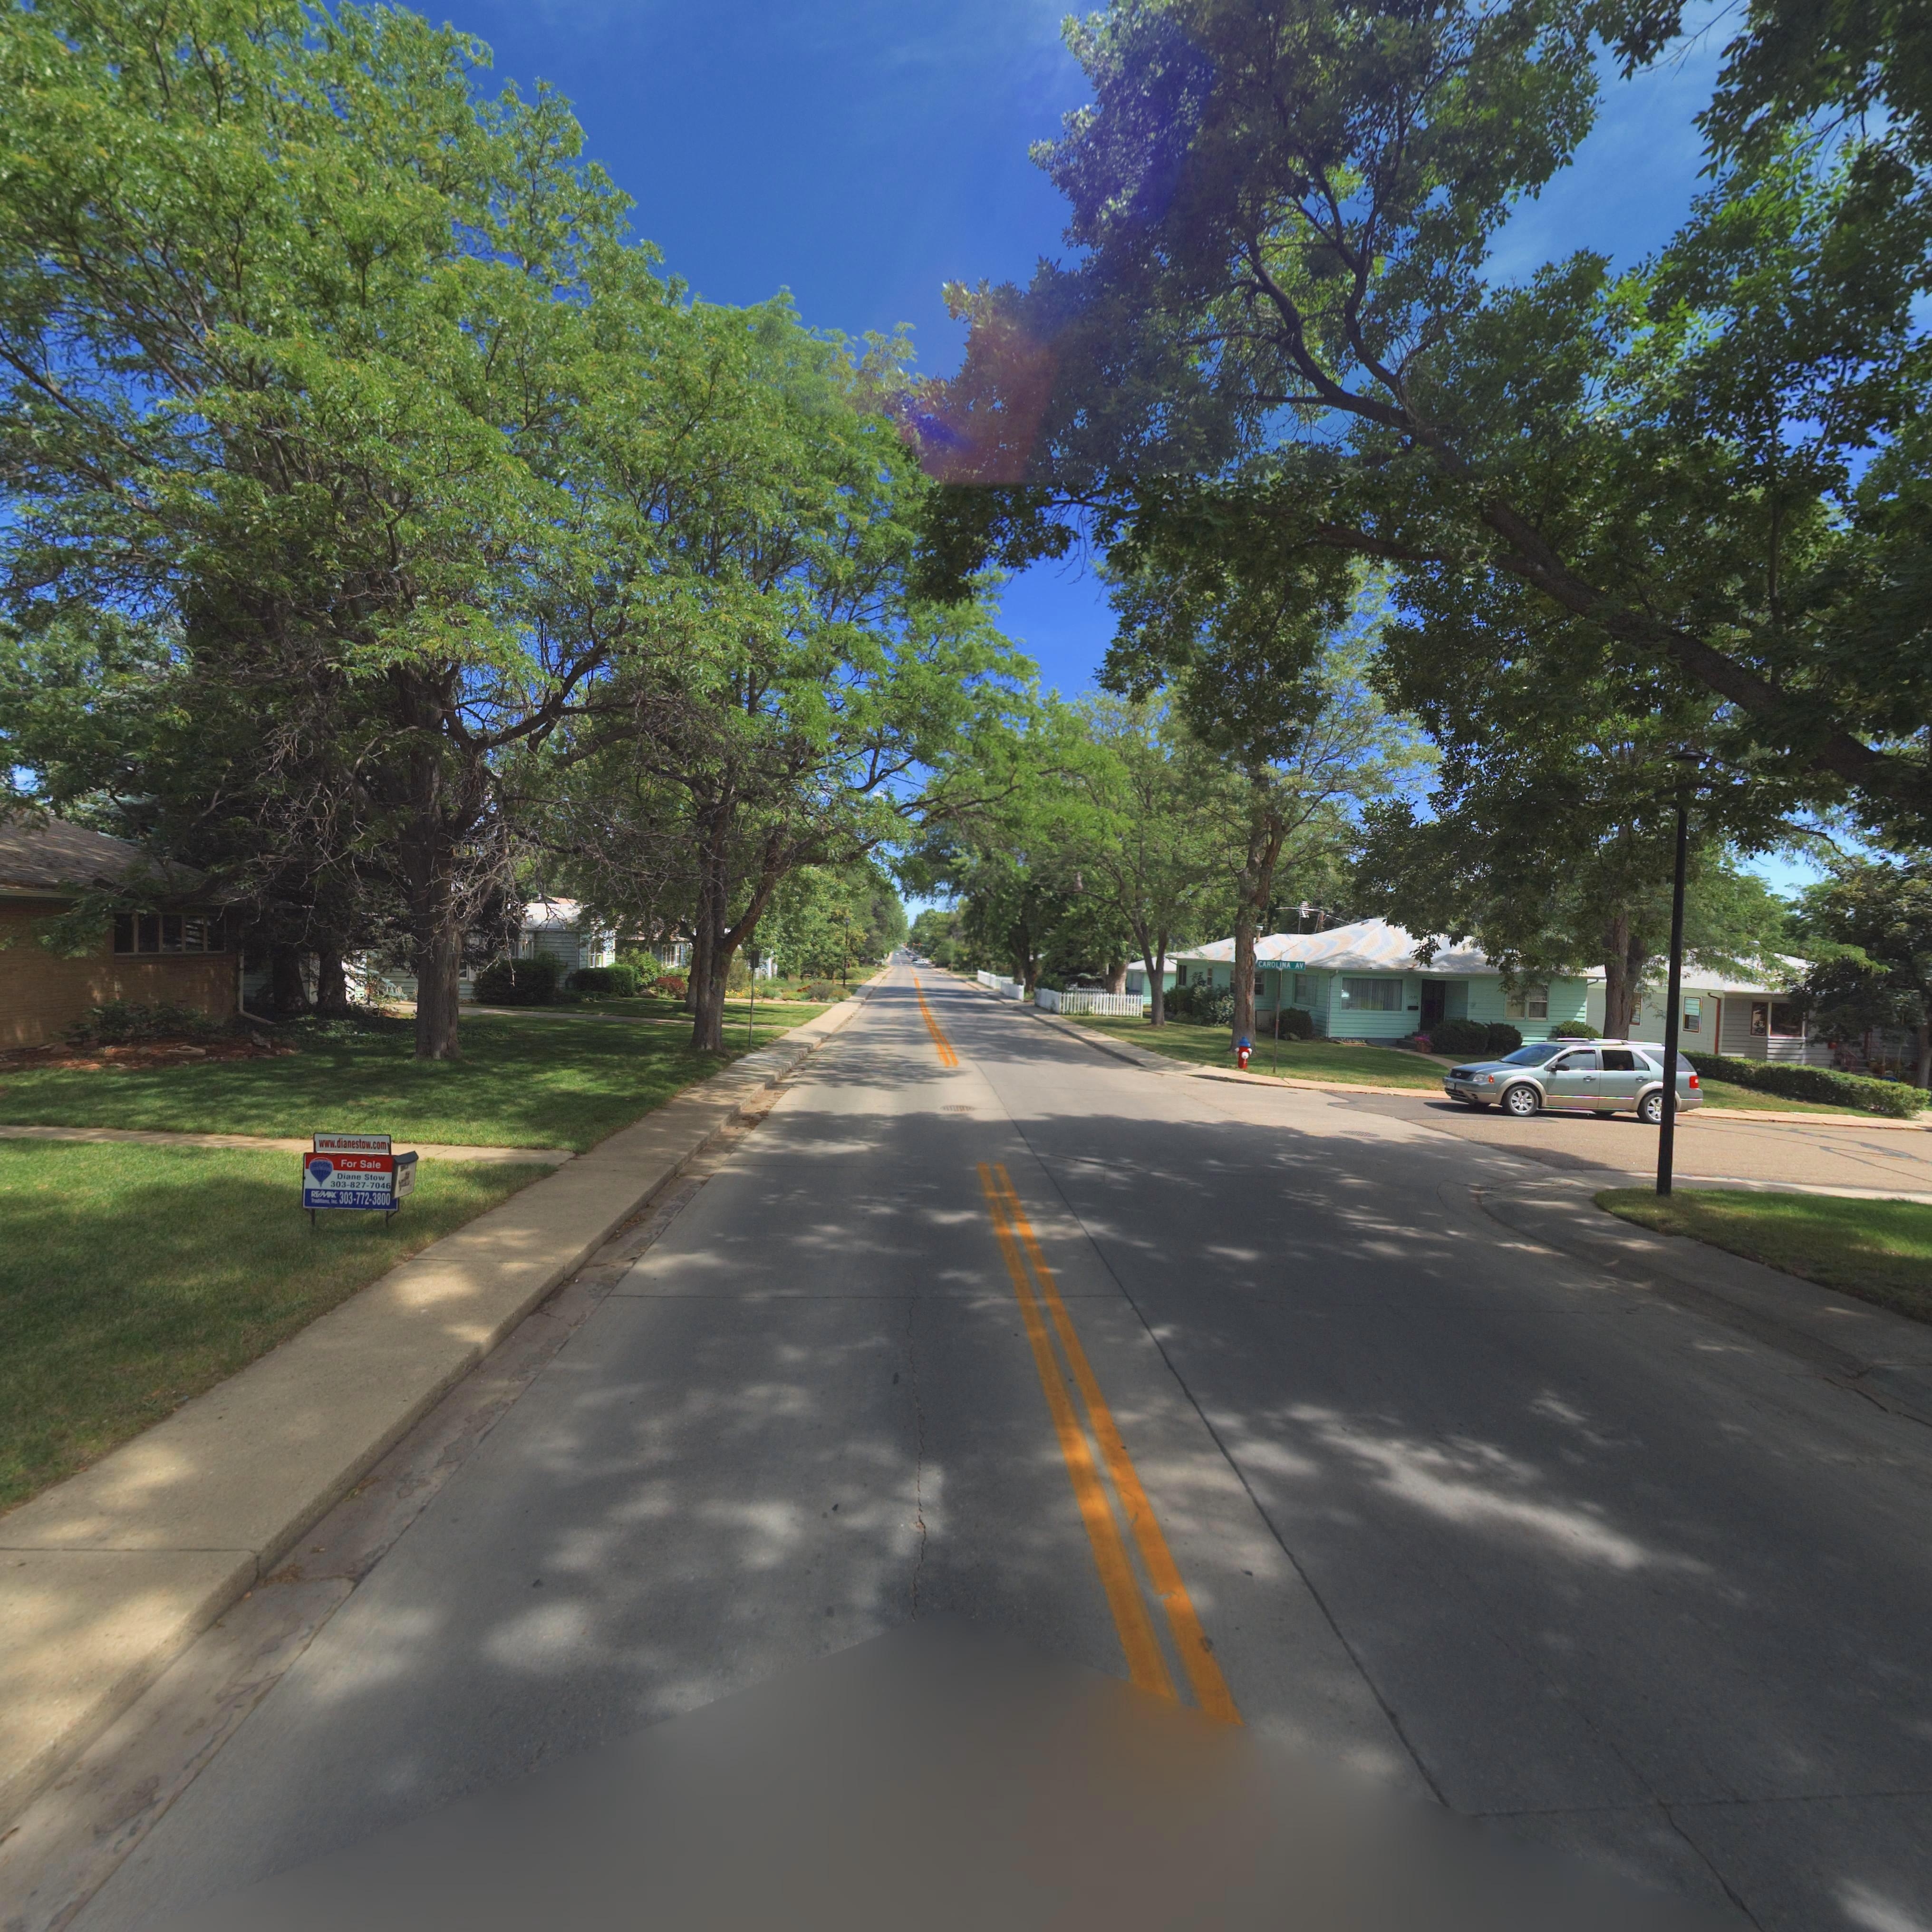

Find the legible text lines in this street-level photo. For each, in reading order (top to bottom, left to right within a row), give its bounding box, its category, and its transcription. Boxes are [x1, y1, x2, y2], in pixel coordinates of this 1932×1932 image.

[1258, 960, 1304, 969] StreetName: CAROLINA AV
[1409, 995, 1418, 999] StreetNumber: 13**